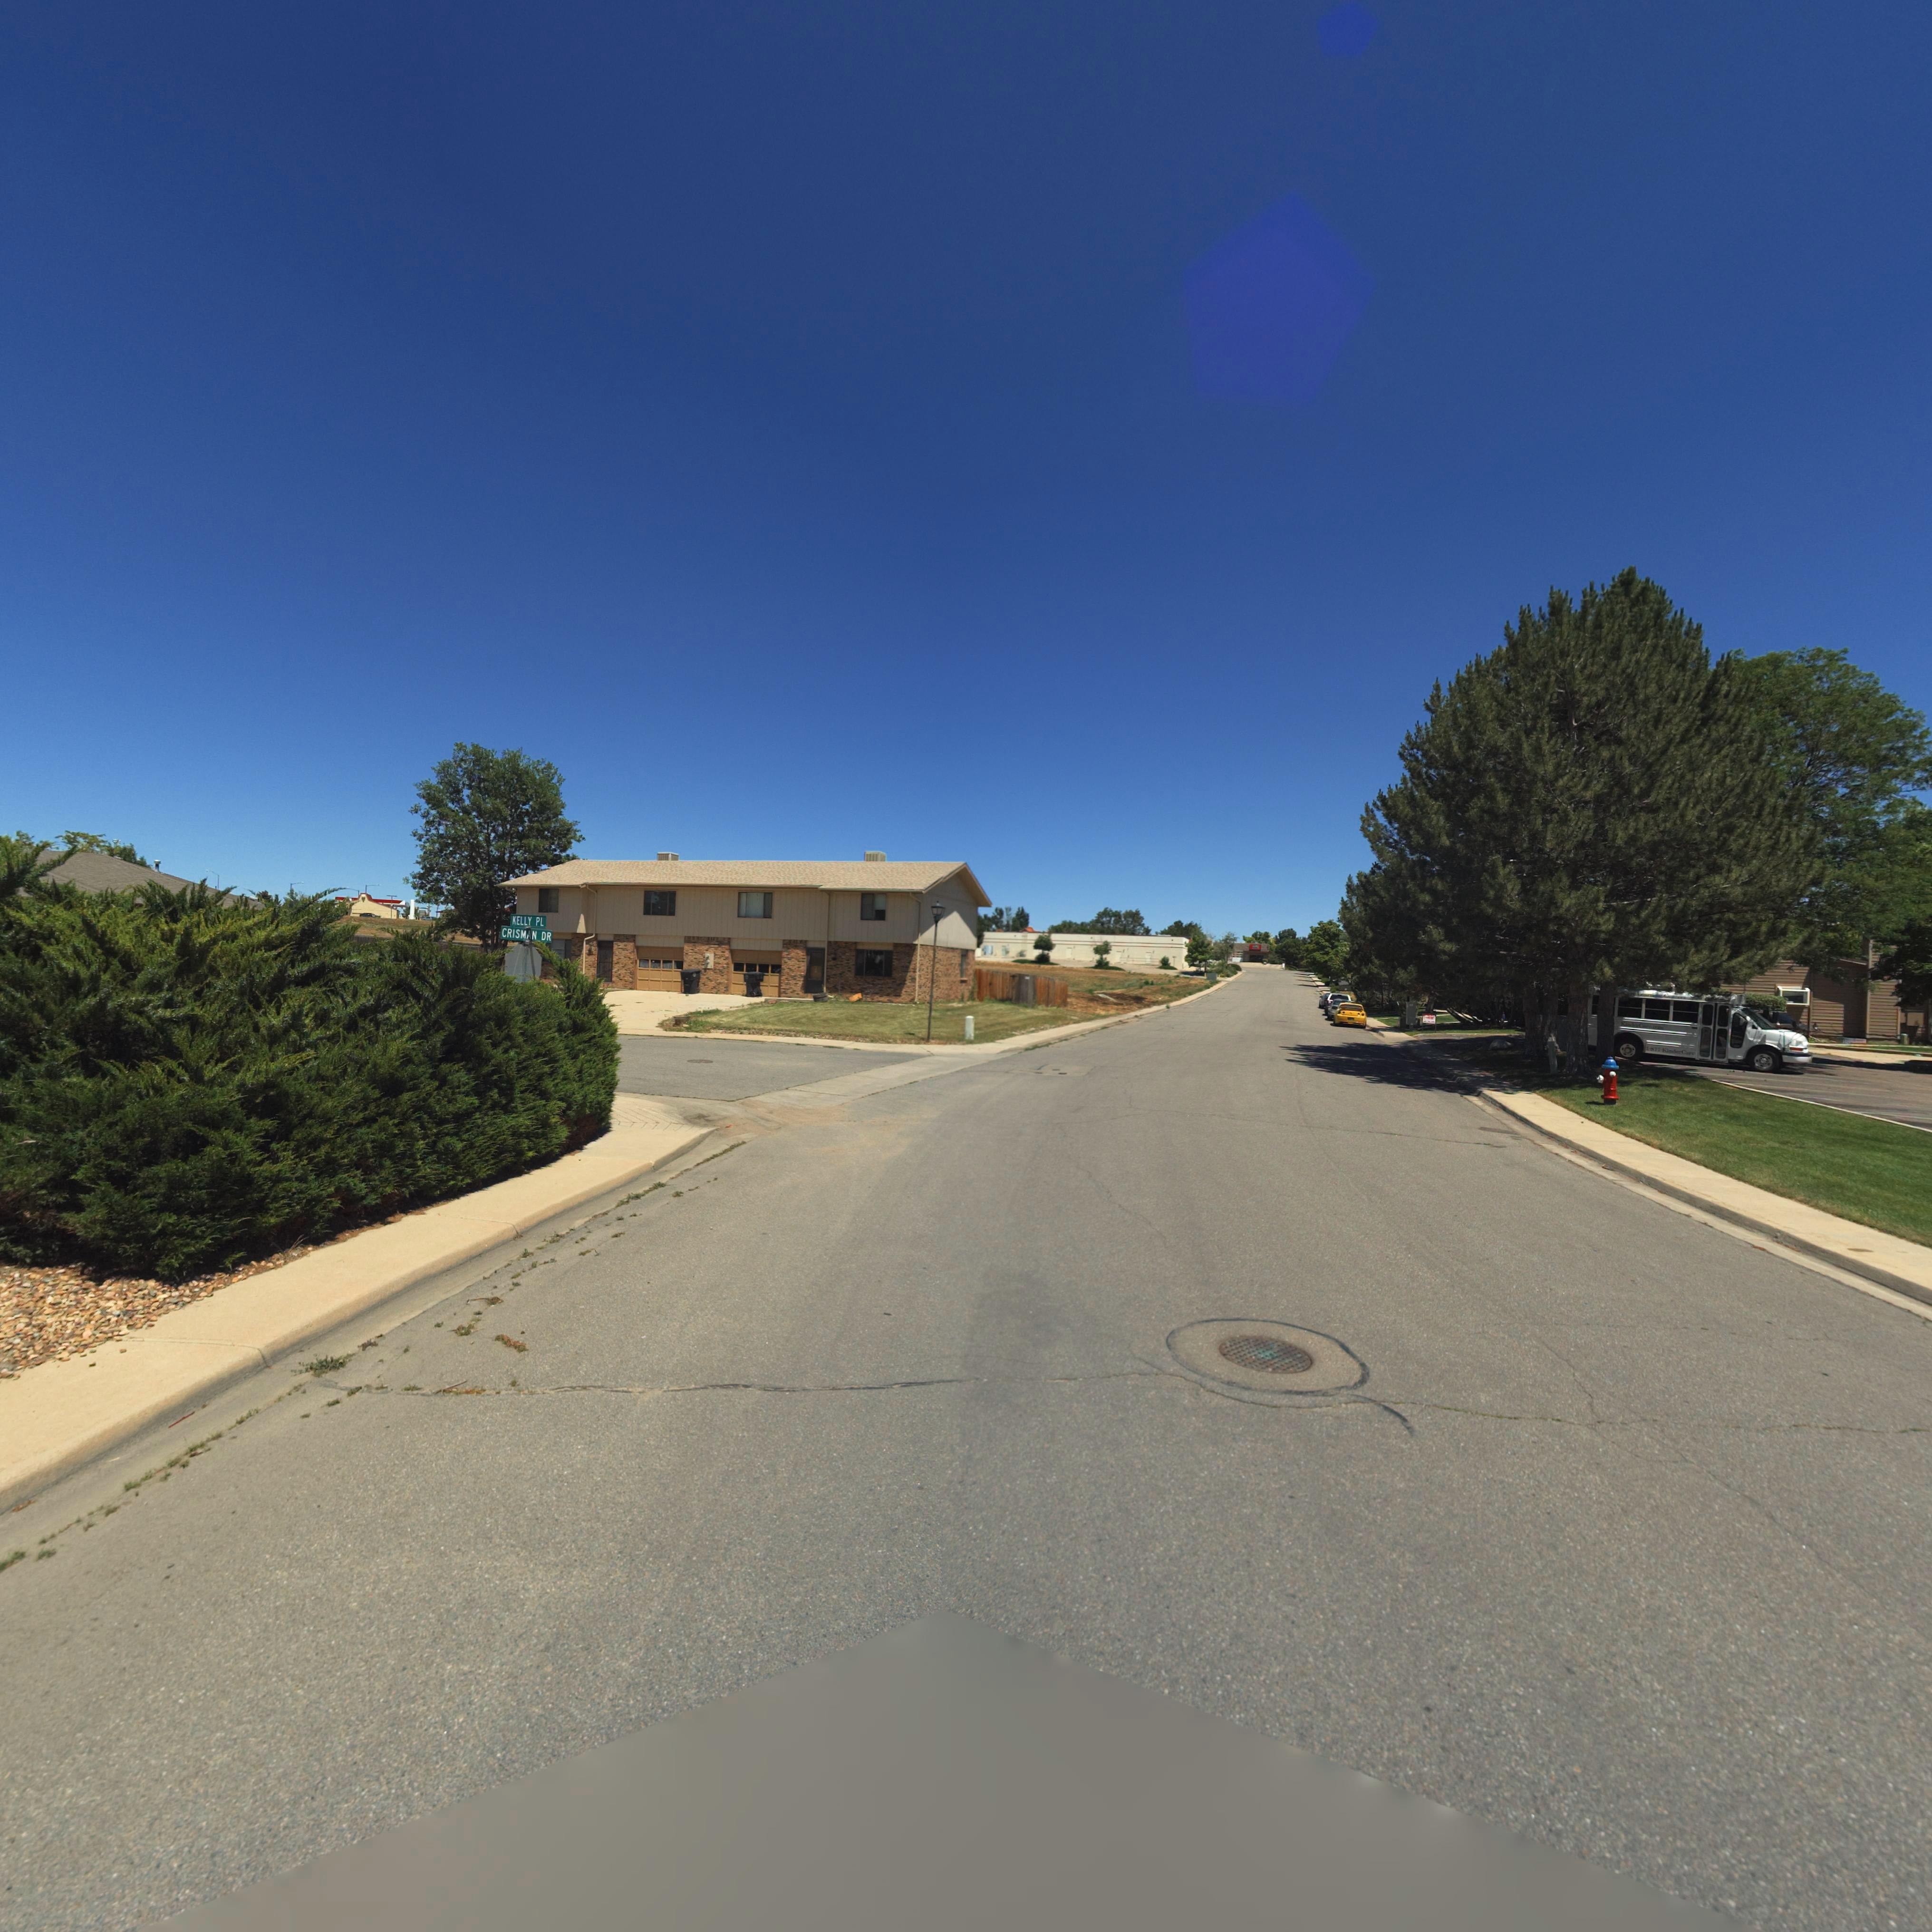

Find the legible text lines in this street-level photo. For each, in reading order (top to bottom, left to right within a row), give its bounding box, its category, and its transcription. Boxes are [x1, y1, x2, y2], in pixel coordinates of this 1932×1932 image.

[512, 916, 543, 926] StreetName: KELLY PL\
[502, 927, 551, 941] StreetName: CRISMAN DR